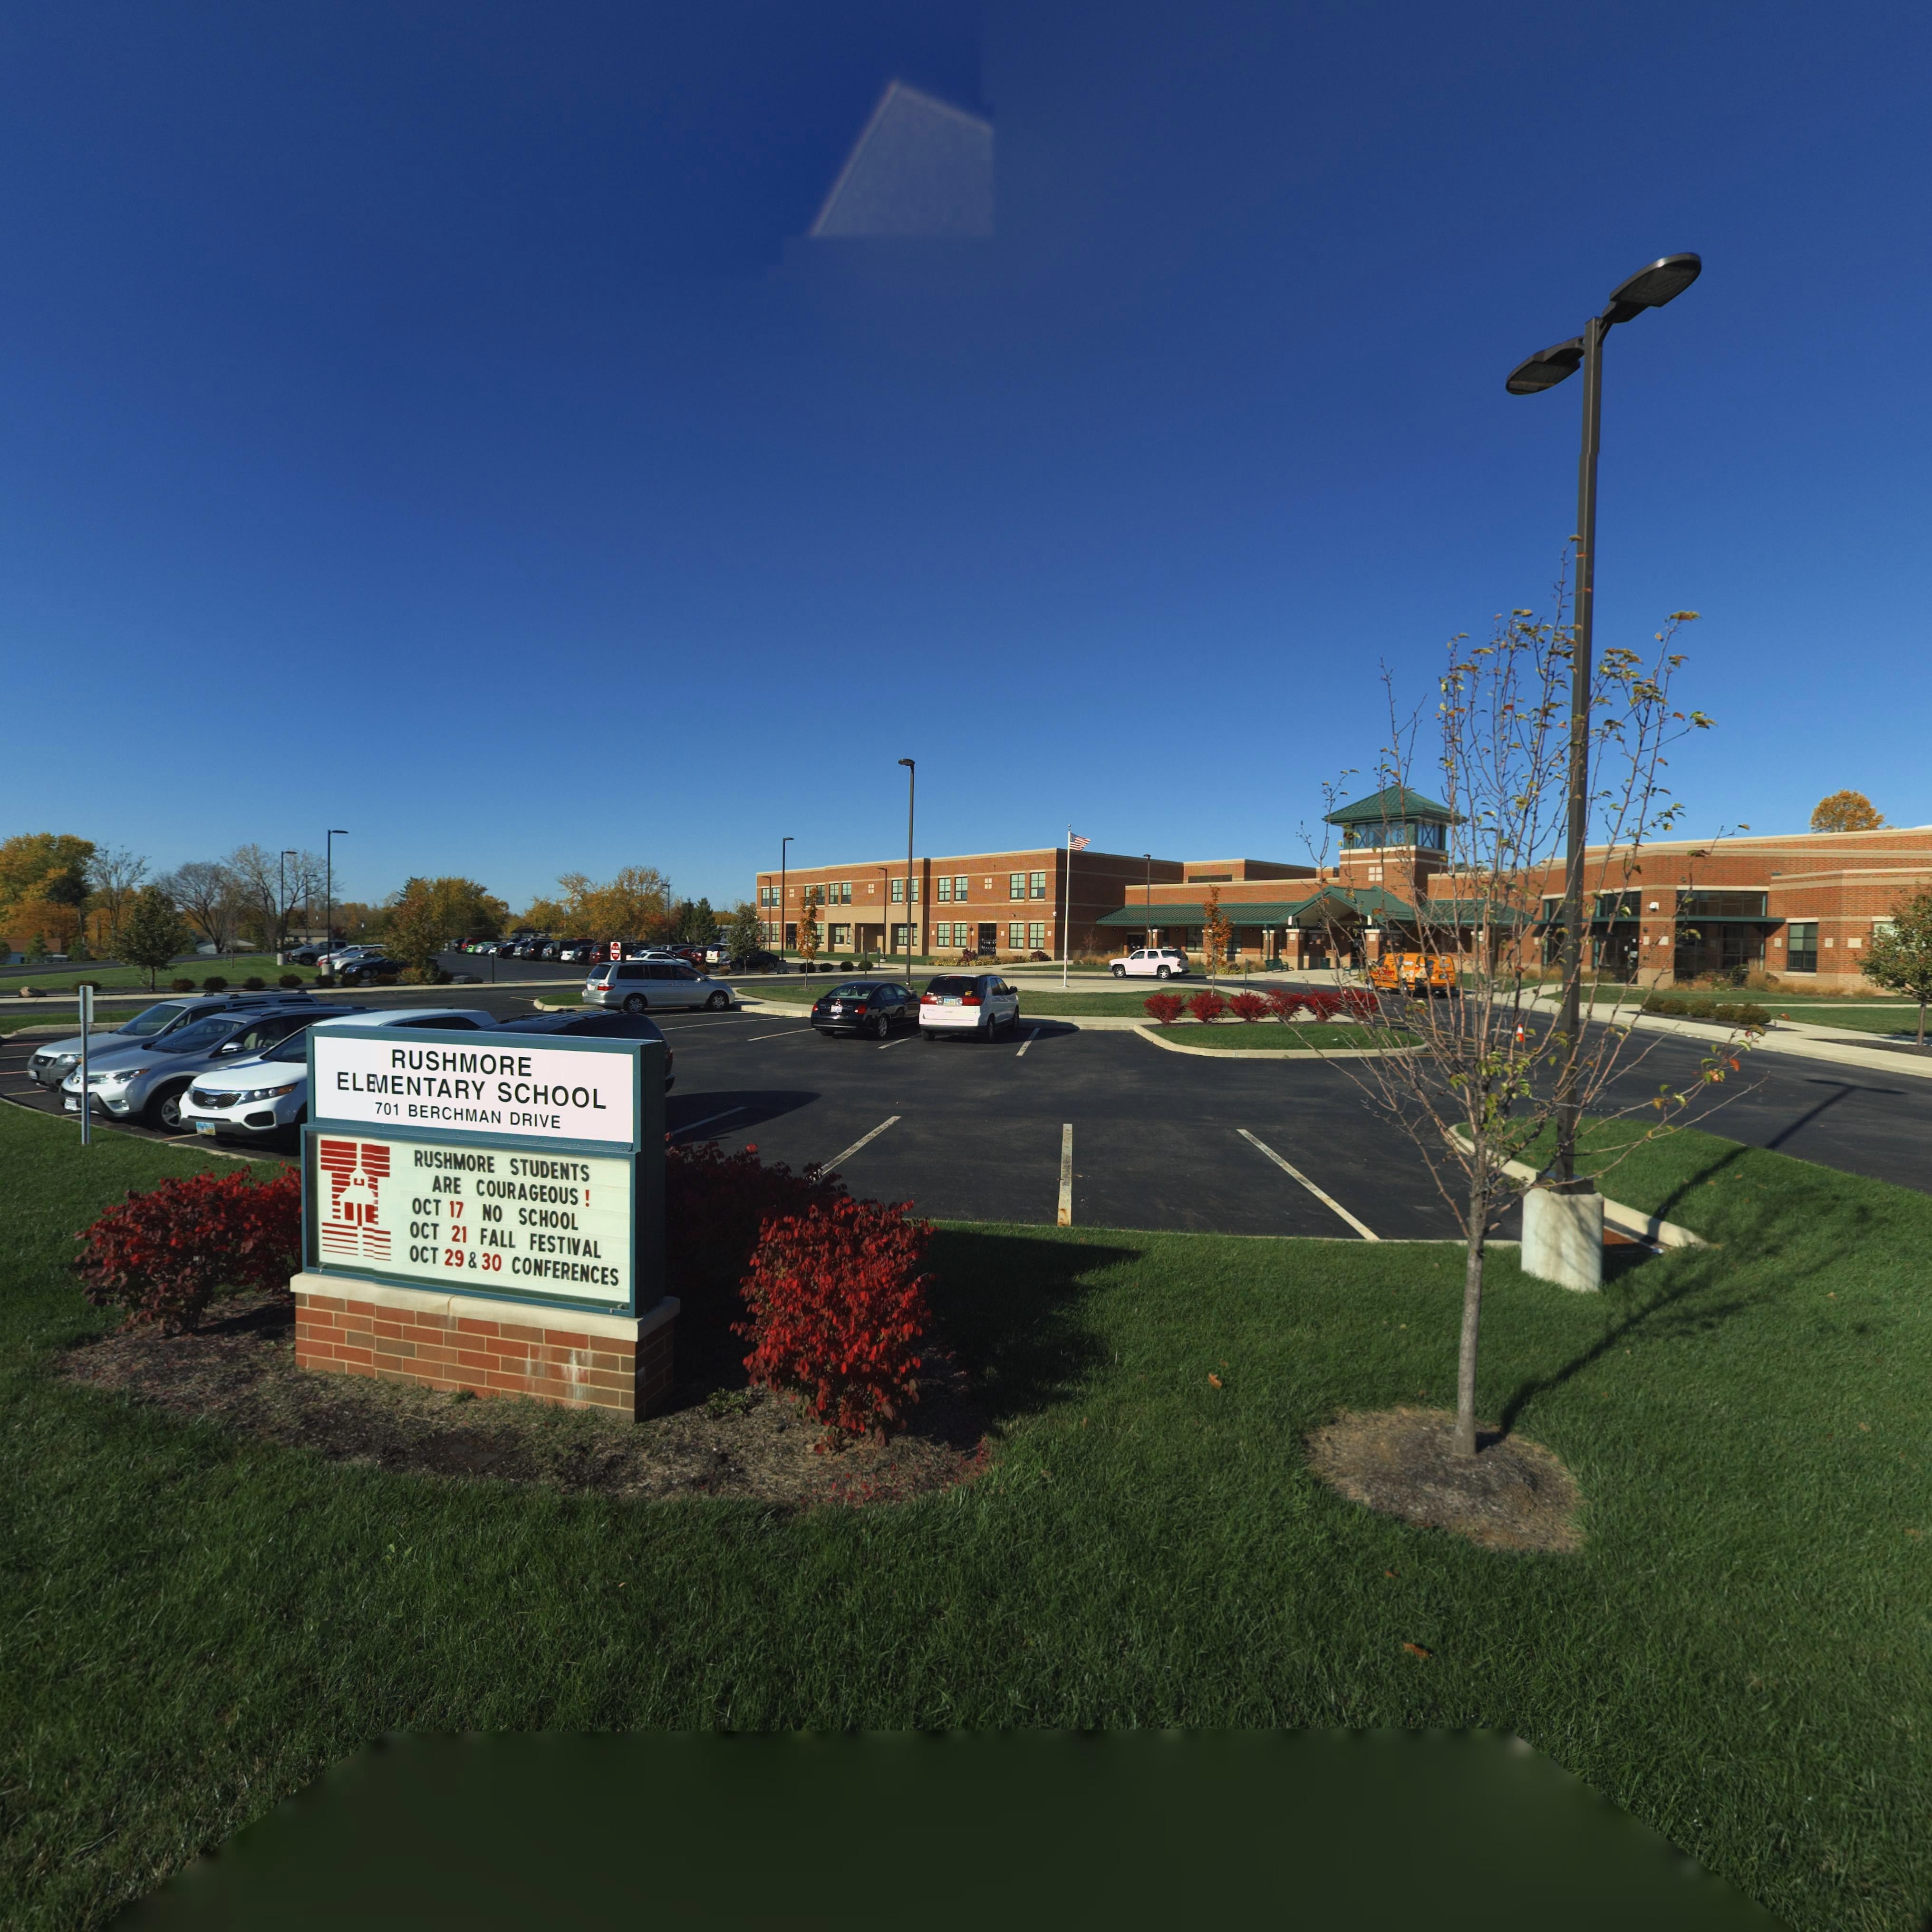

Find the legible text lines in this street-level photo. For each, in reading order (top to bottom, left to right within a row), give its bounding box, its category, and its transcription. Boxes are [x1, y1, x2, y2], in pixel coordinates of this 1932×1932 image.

[391, 1048, 533, 1078] BusinessName: RUSHMORE
[336, 1071, 608, 1110] BusinessName: ELEMENTARY SCHOOL
[373, 1101, 400, 1118] StreetNumber: 701
[408, 1103, 561, 1130] StreetName: BERCHMAN DRIVE